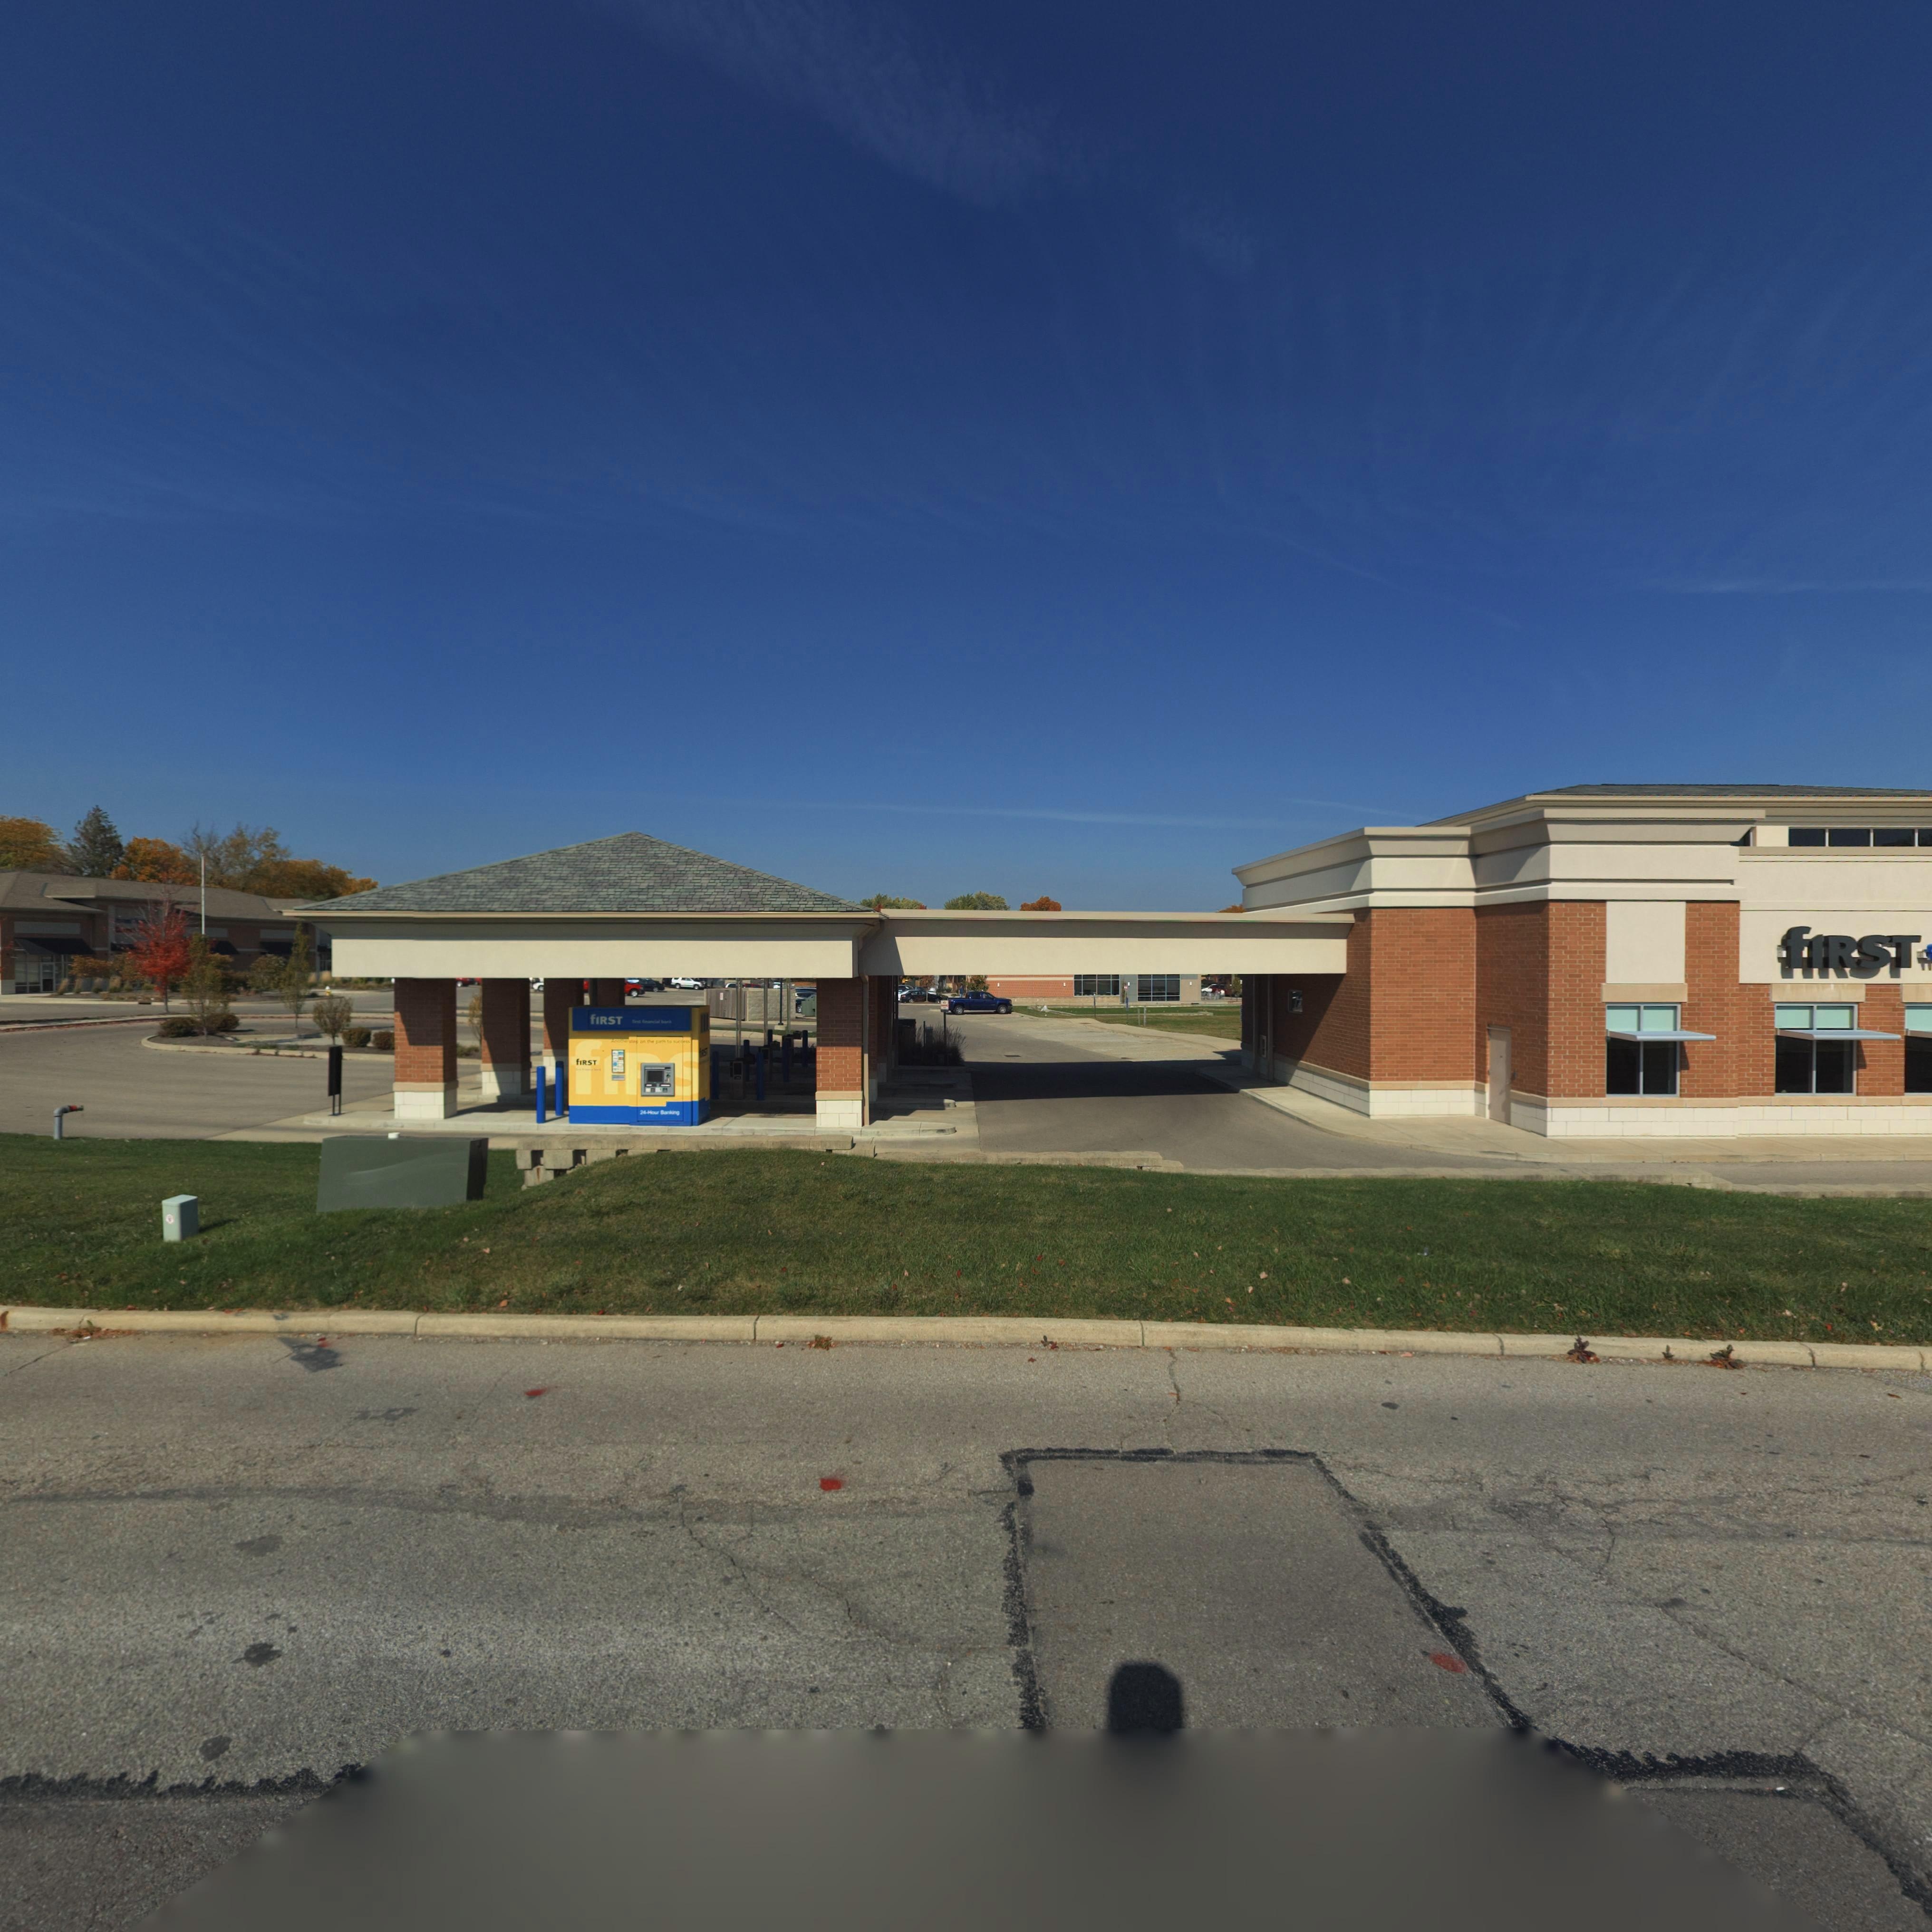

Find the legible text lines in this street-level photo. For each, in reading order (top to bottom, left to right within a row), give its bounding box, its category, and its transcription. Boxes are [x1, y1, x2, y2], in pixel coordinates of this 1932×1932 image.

[1779, 925, 1923, 971] BusinessName: fIRST
[589, 1013, 624, 1026] BusinessName: fIRST
[575, 1057, 598, 1066] BusinessName: fIRST